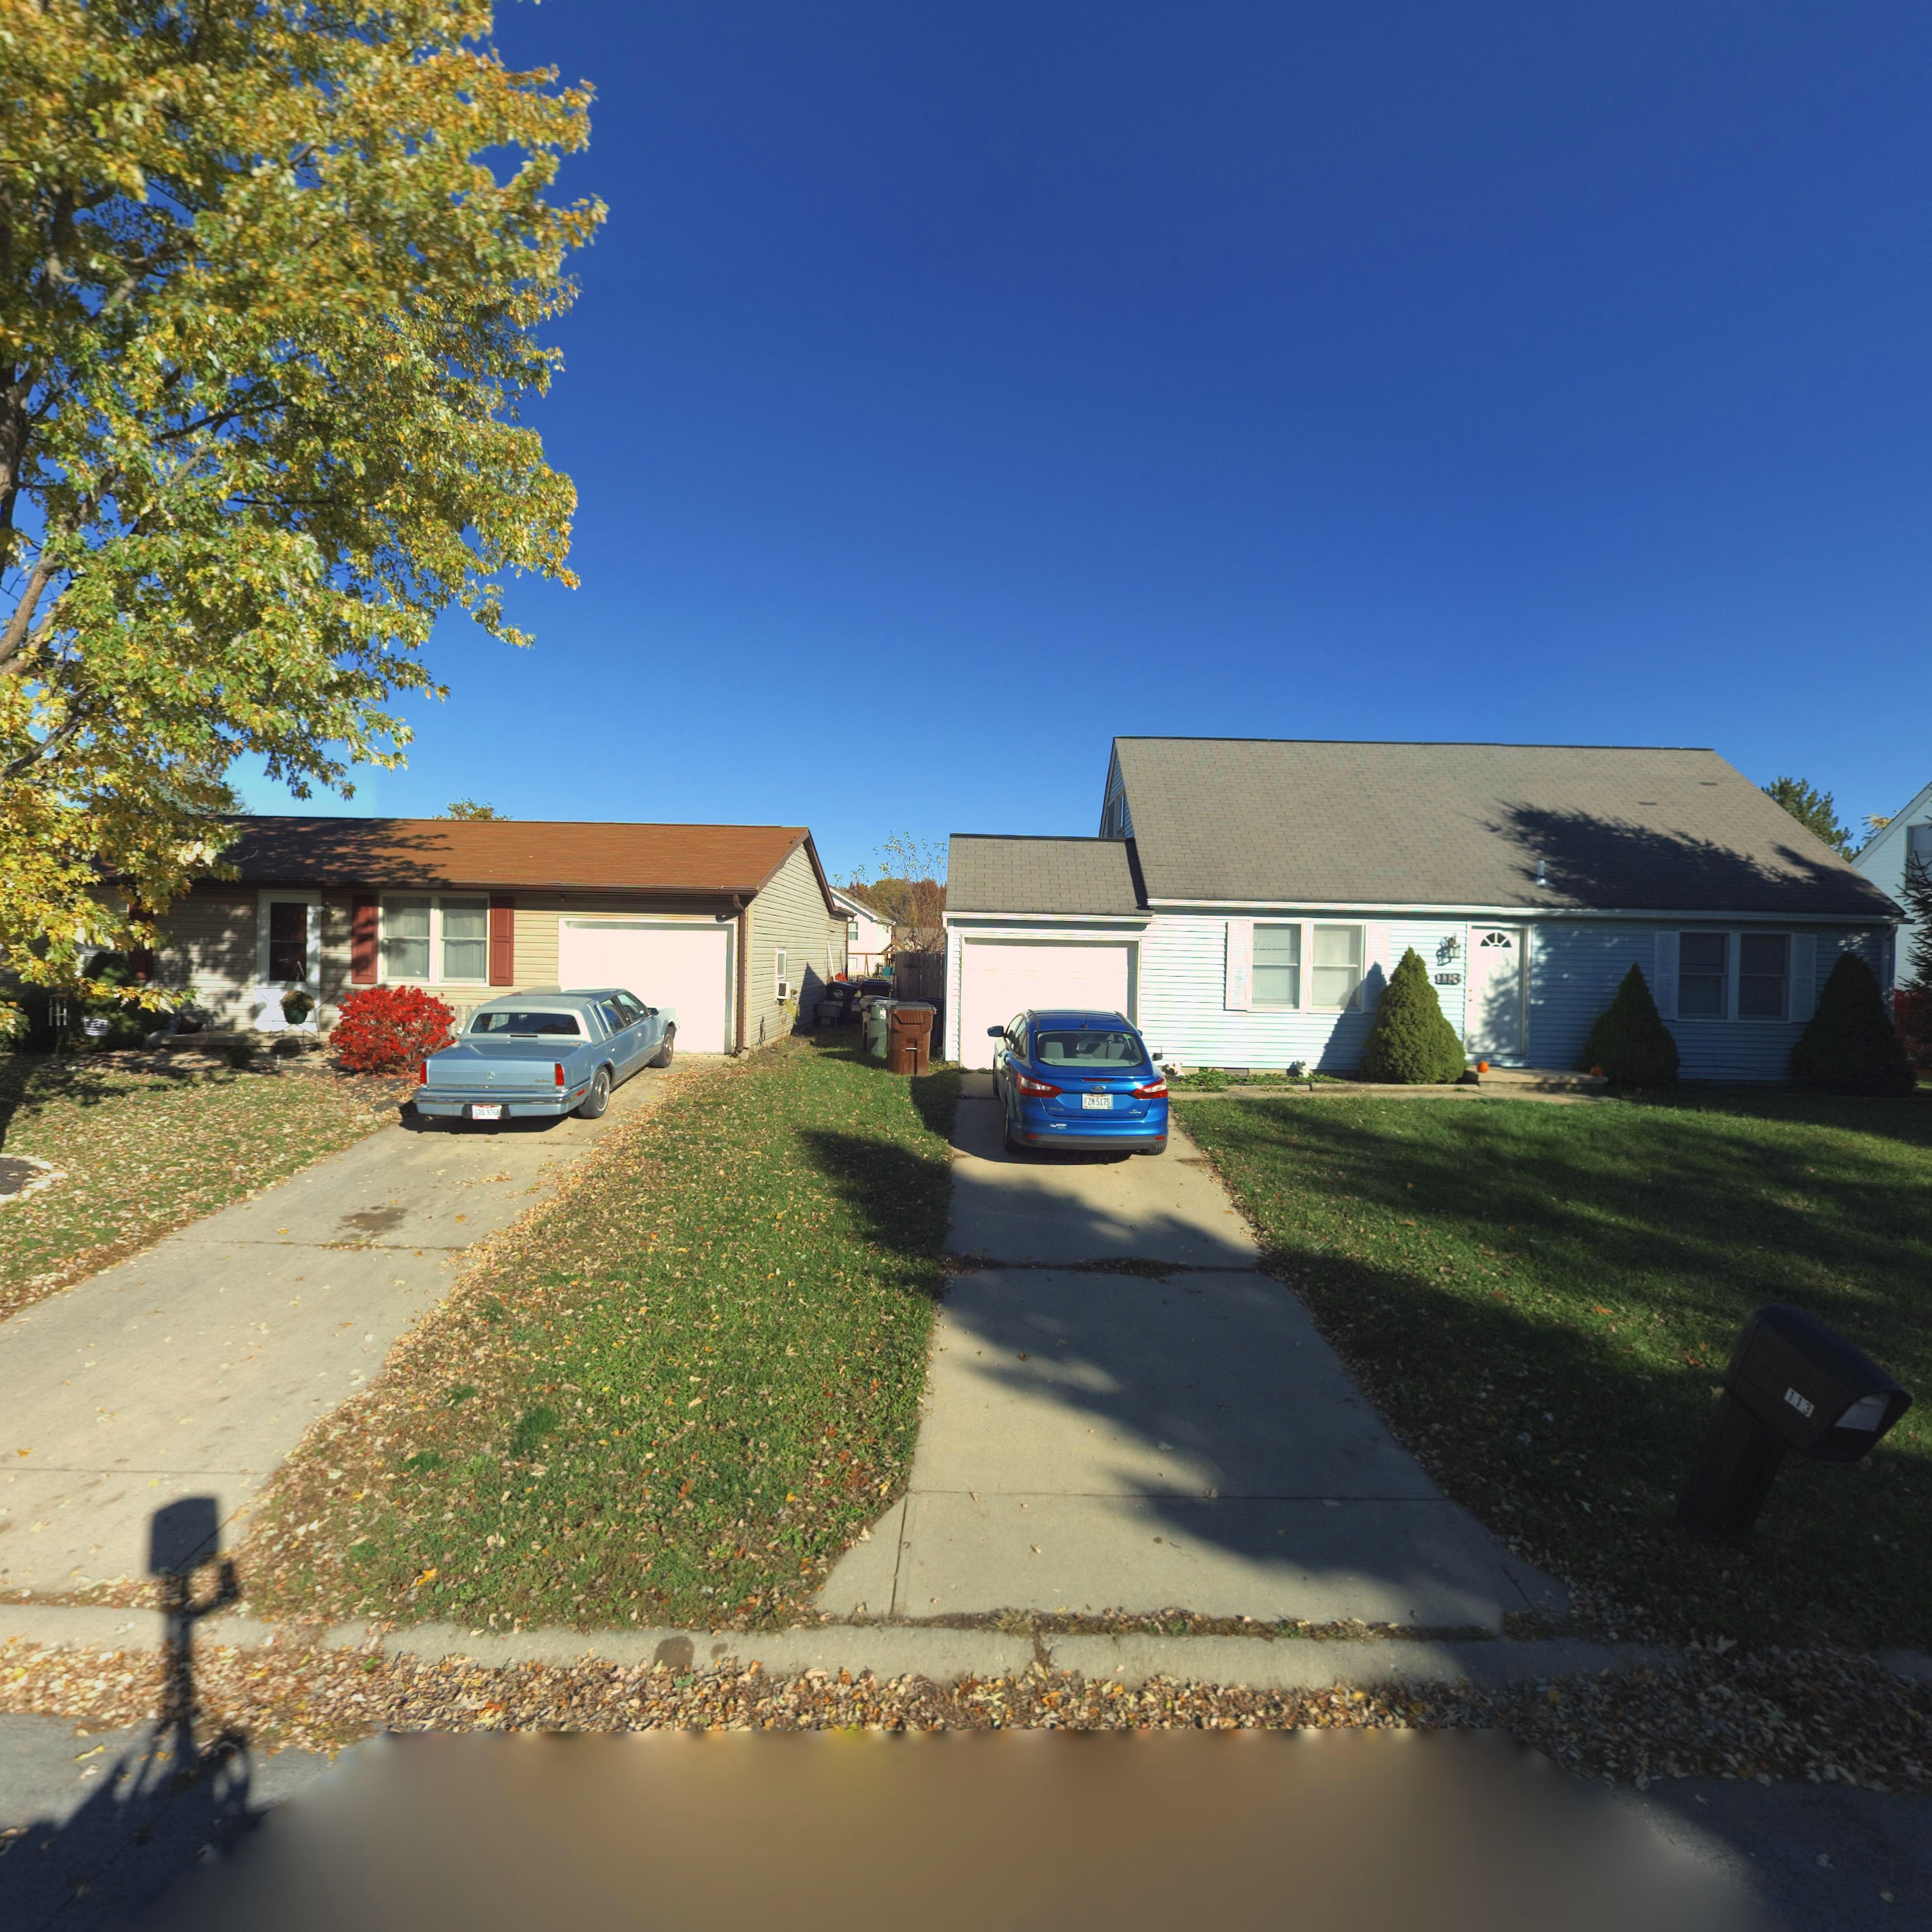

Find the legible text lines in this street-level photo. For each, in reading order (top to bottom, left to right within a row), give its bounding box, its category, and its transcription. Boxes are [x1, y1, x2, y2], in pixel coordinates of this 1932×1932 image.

[1438, 973, 1460, 984] StreetNumber: 113
[1786, 1387, 1813, 1418] StreetNumber: 113